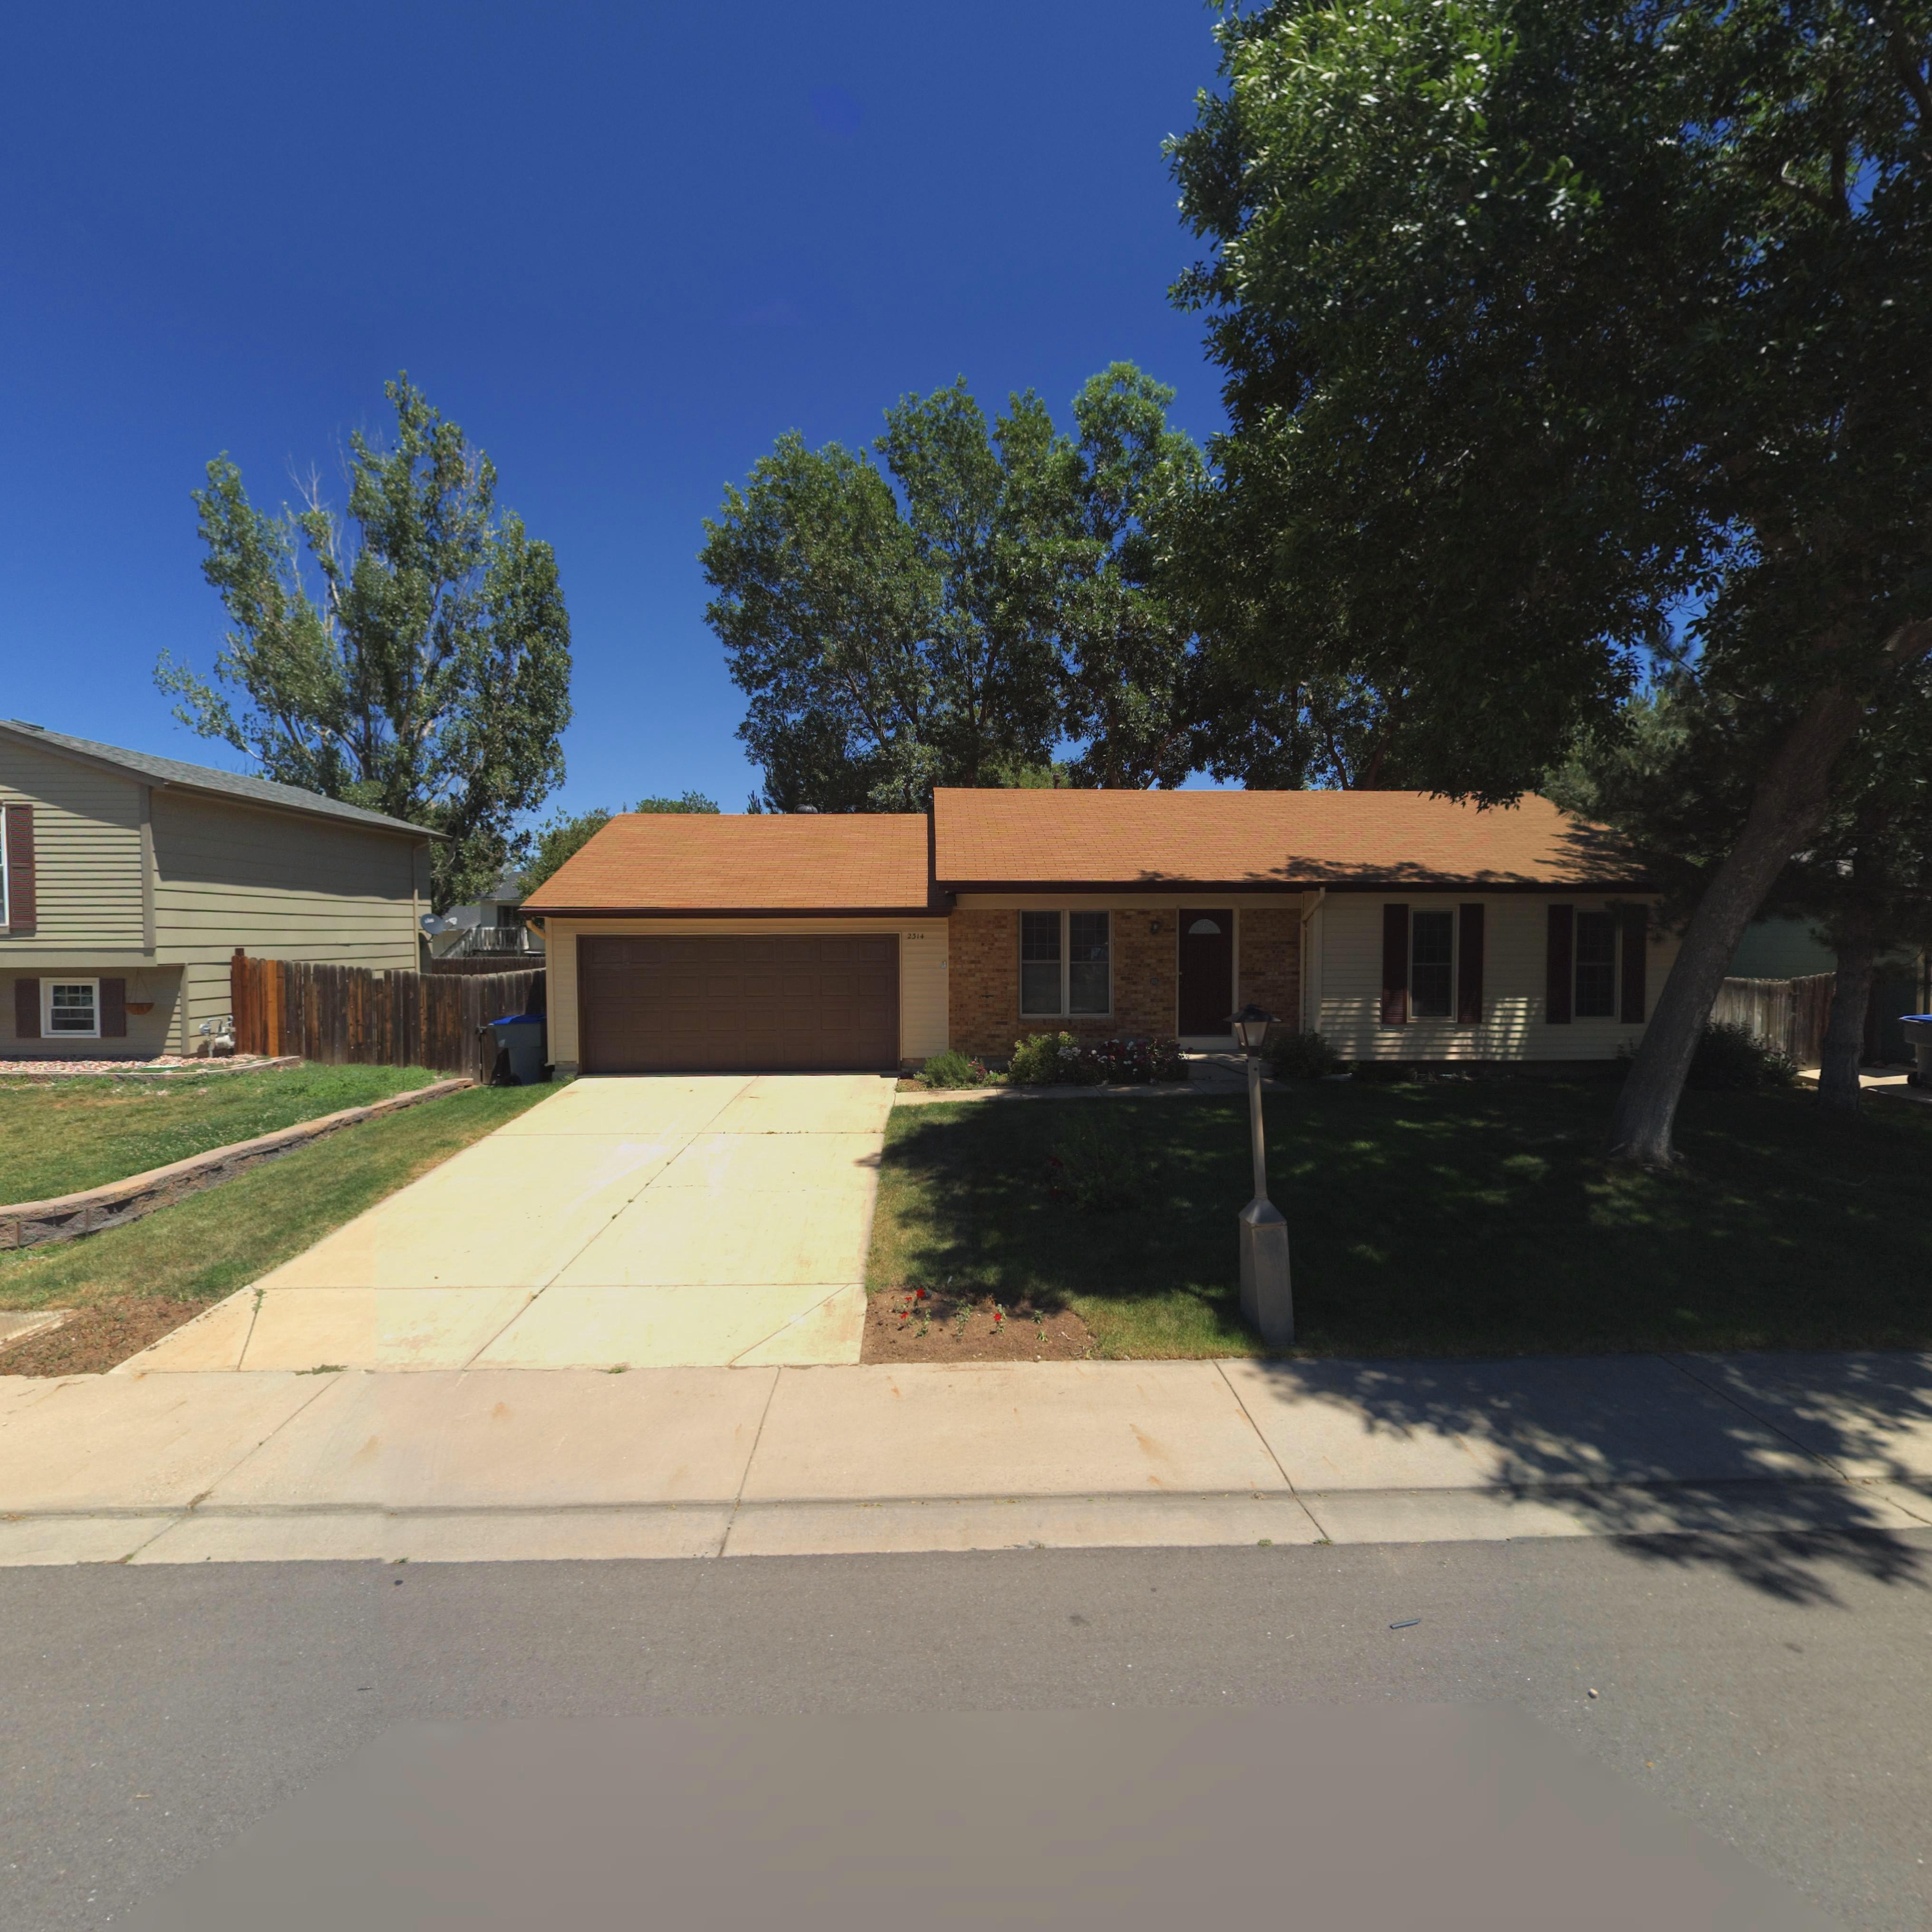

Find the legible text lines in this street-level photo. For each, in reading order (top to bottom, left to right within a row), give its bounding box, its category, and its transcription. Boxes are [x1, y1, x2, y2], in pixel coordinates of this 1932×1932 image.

[907, 932, 924, 939] StreetNumber: 2314